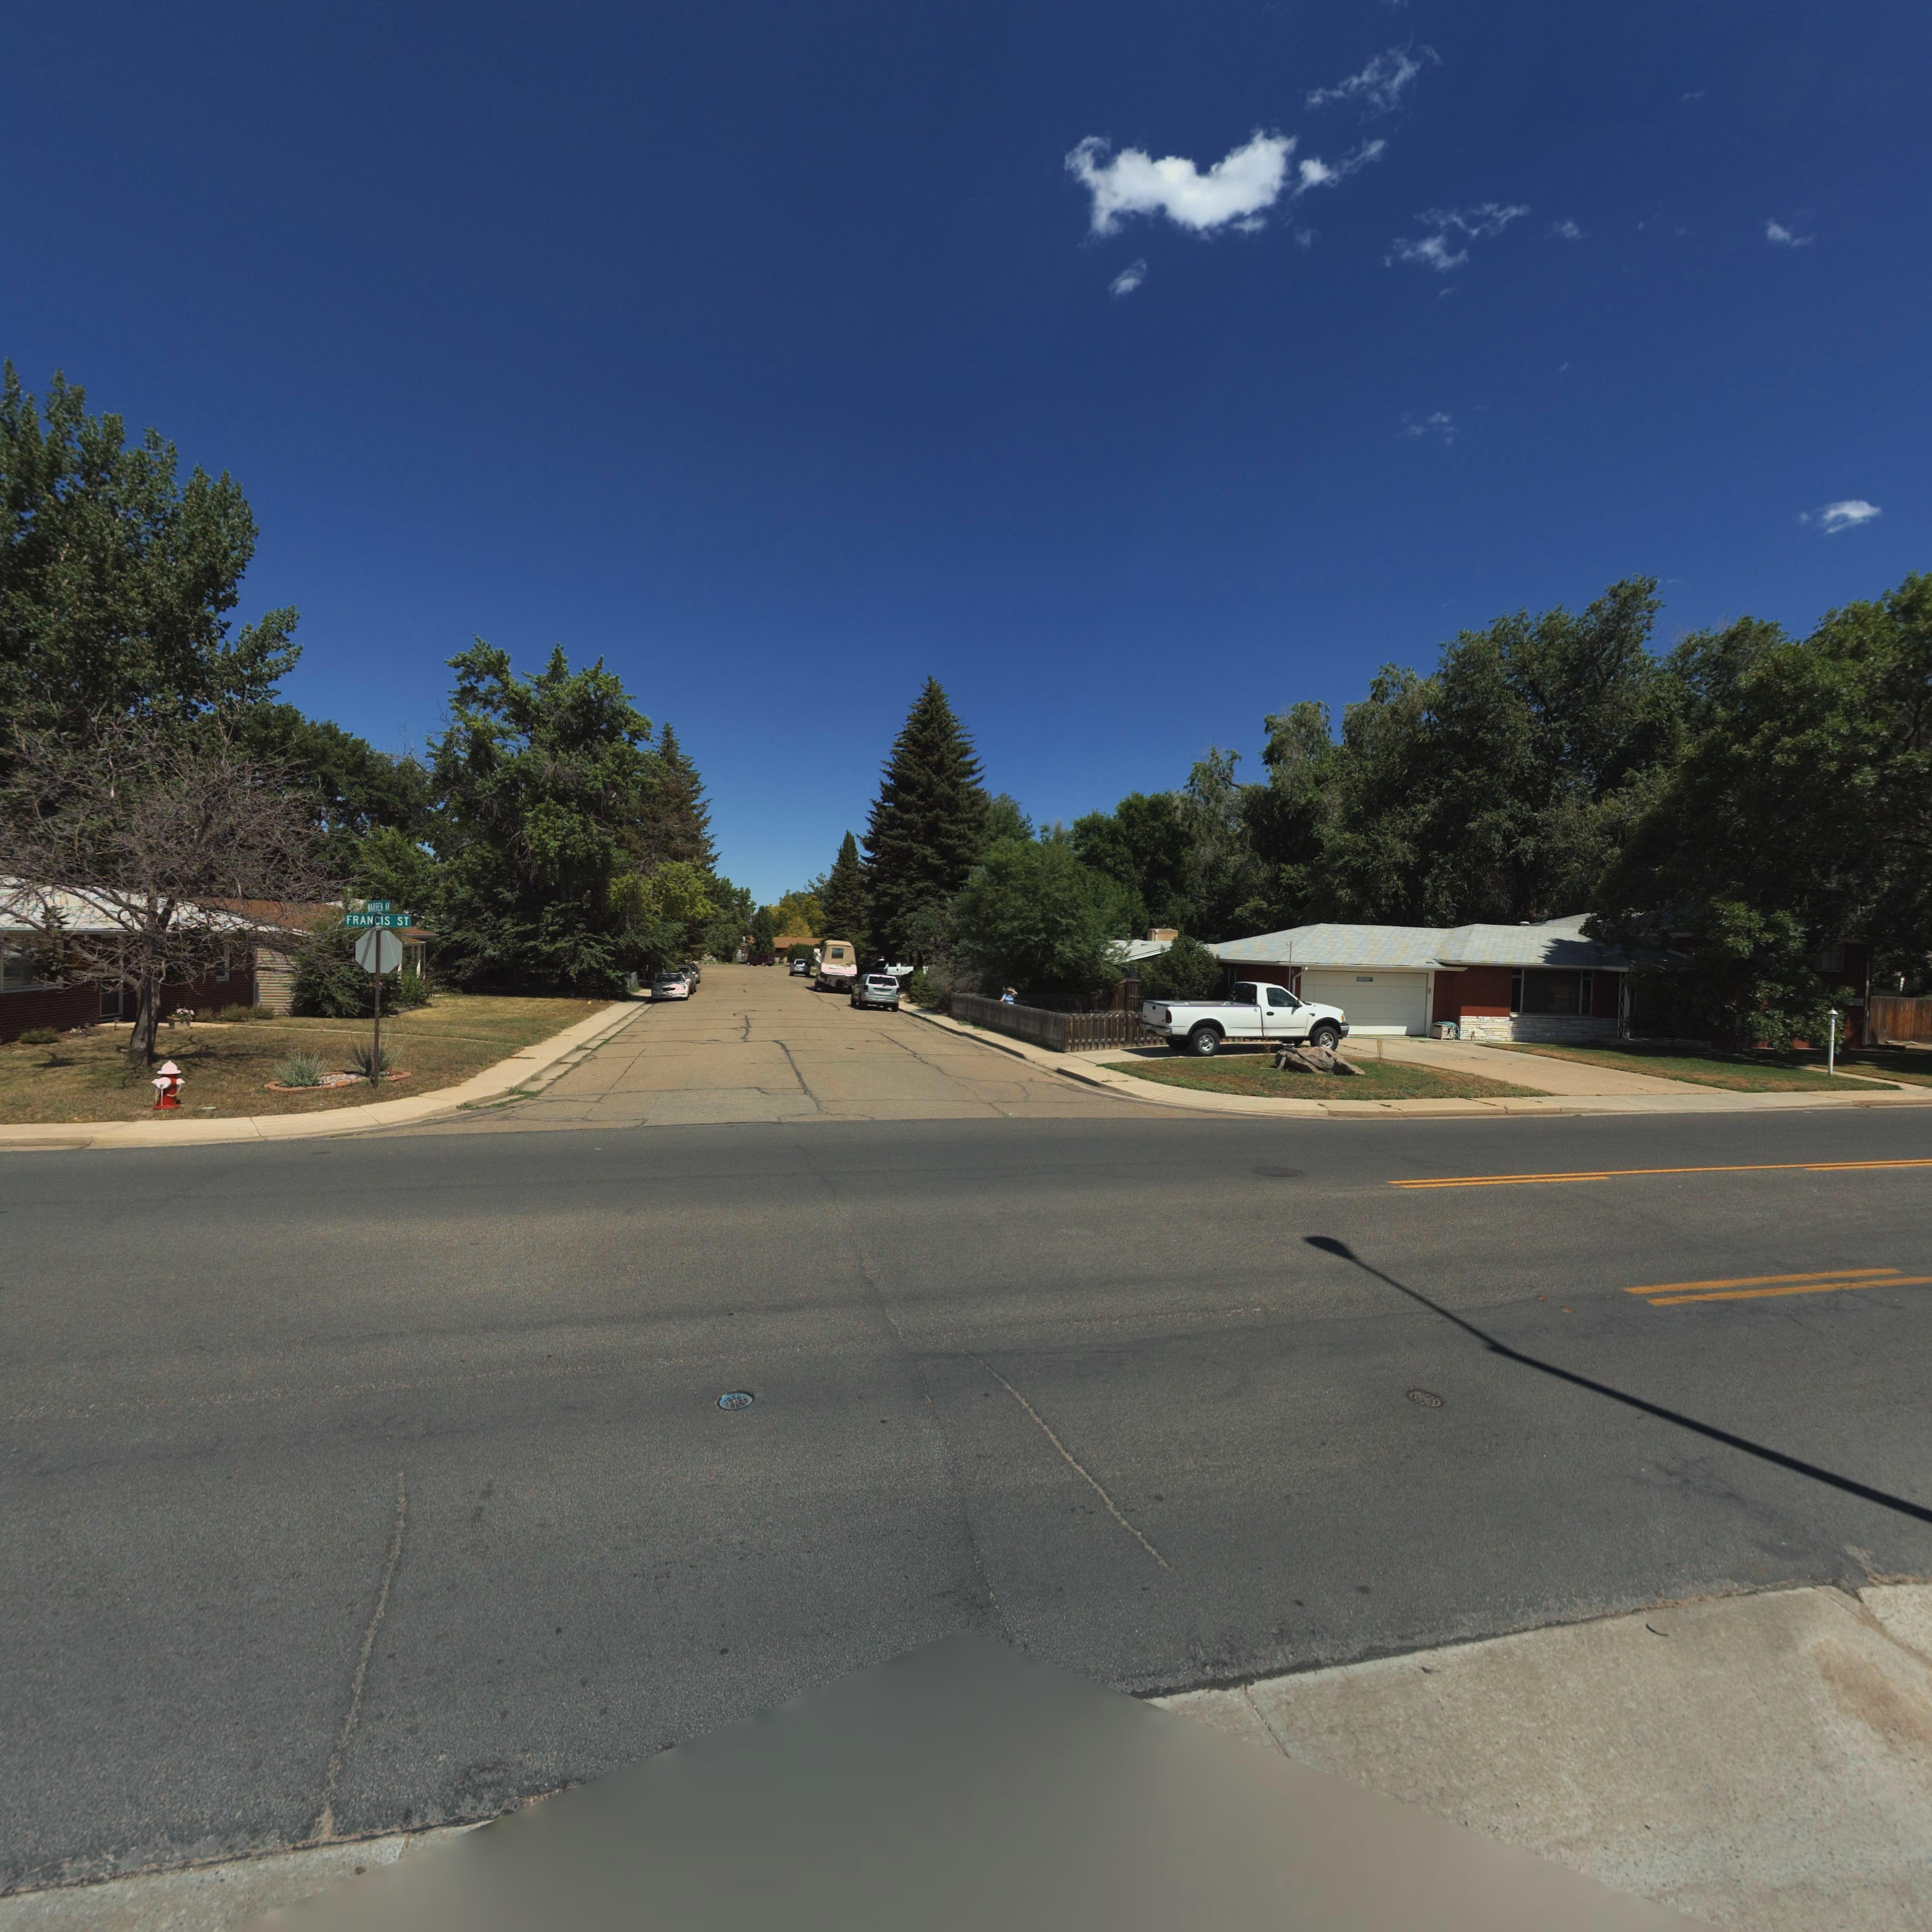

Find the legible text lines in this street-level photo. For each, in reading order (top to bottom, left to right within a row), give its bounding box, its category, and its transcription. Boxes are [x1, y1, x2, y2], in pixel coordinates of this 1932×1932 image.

[367, 901, 390, 913] StreetName: *A**E* A*
[346, 915, 409, 926] StreetName: FRANCIS ST